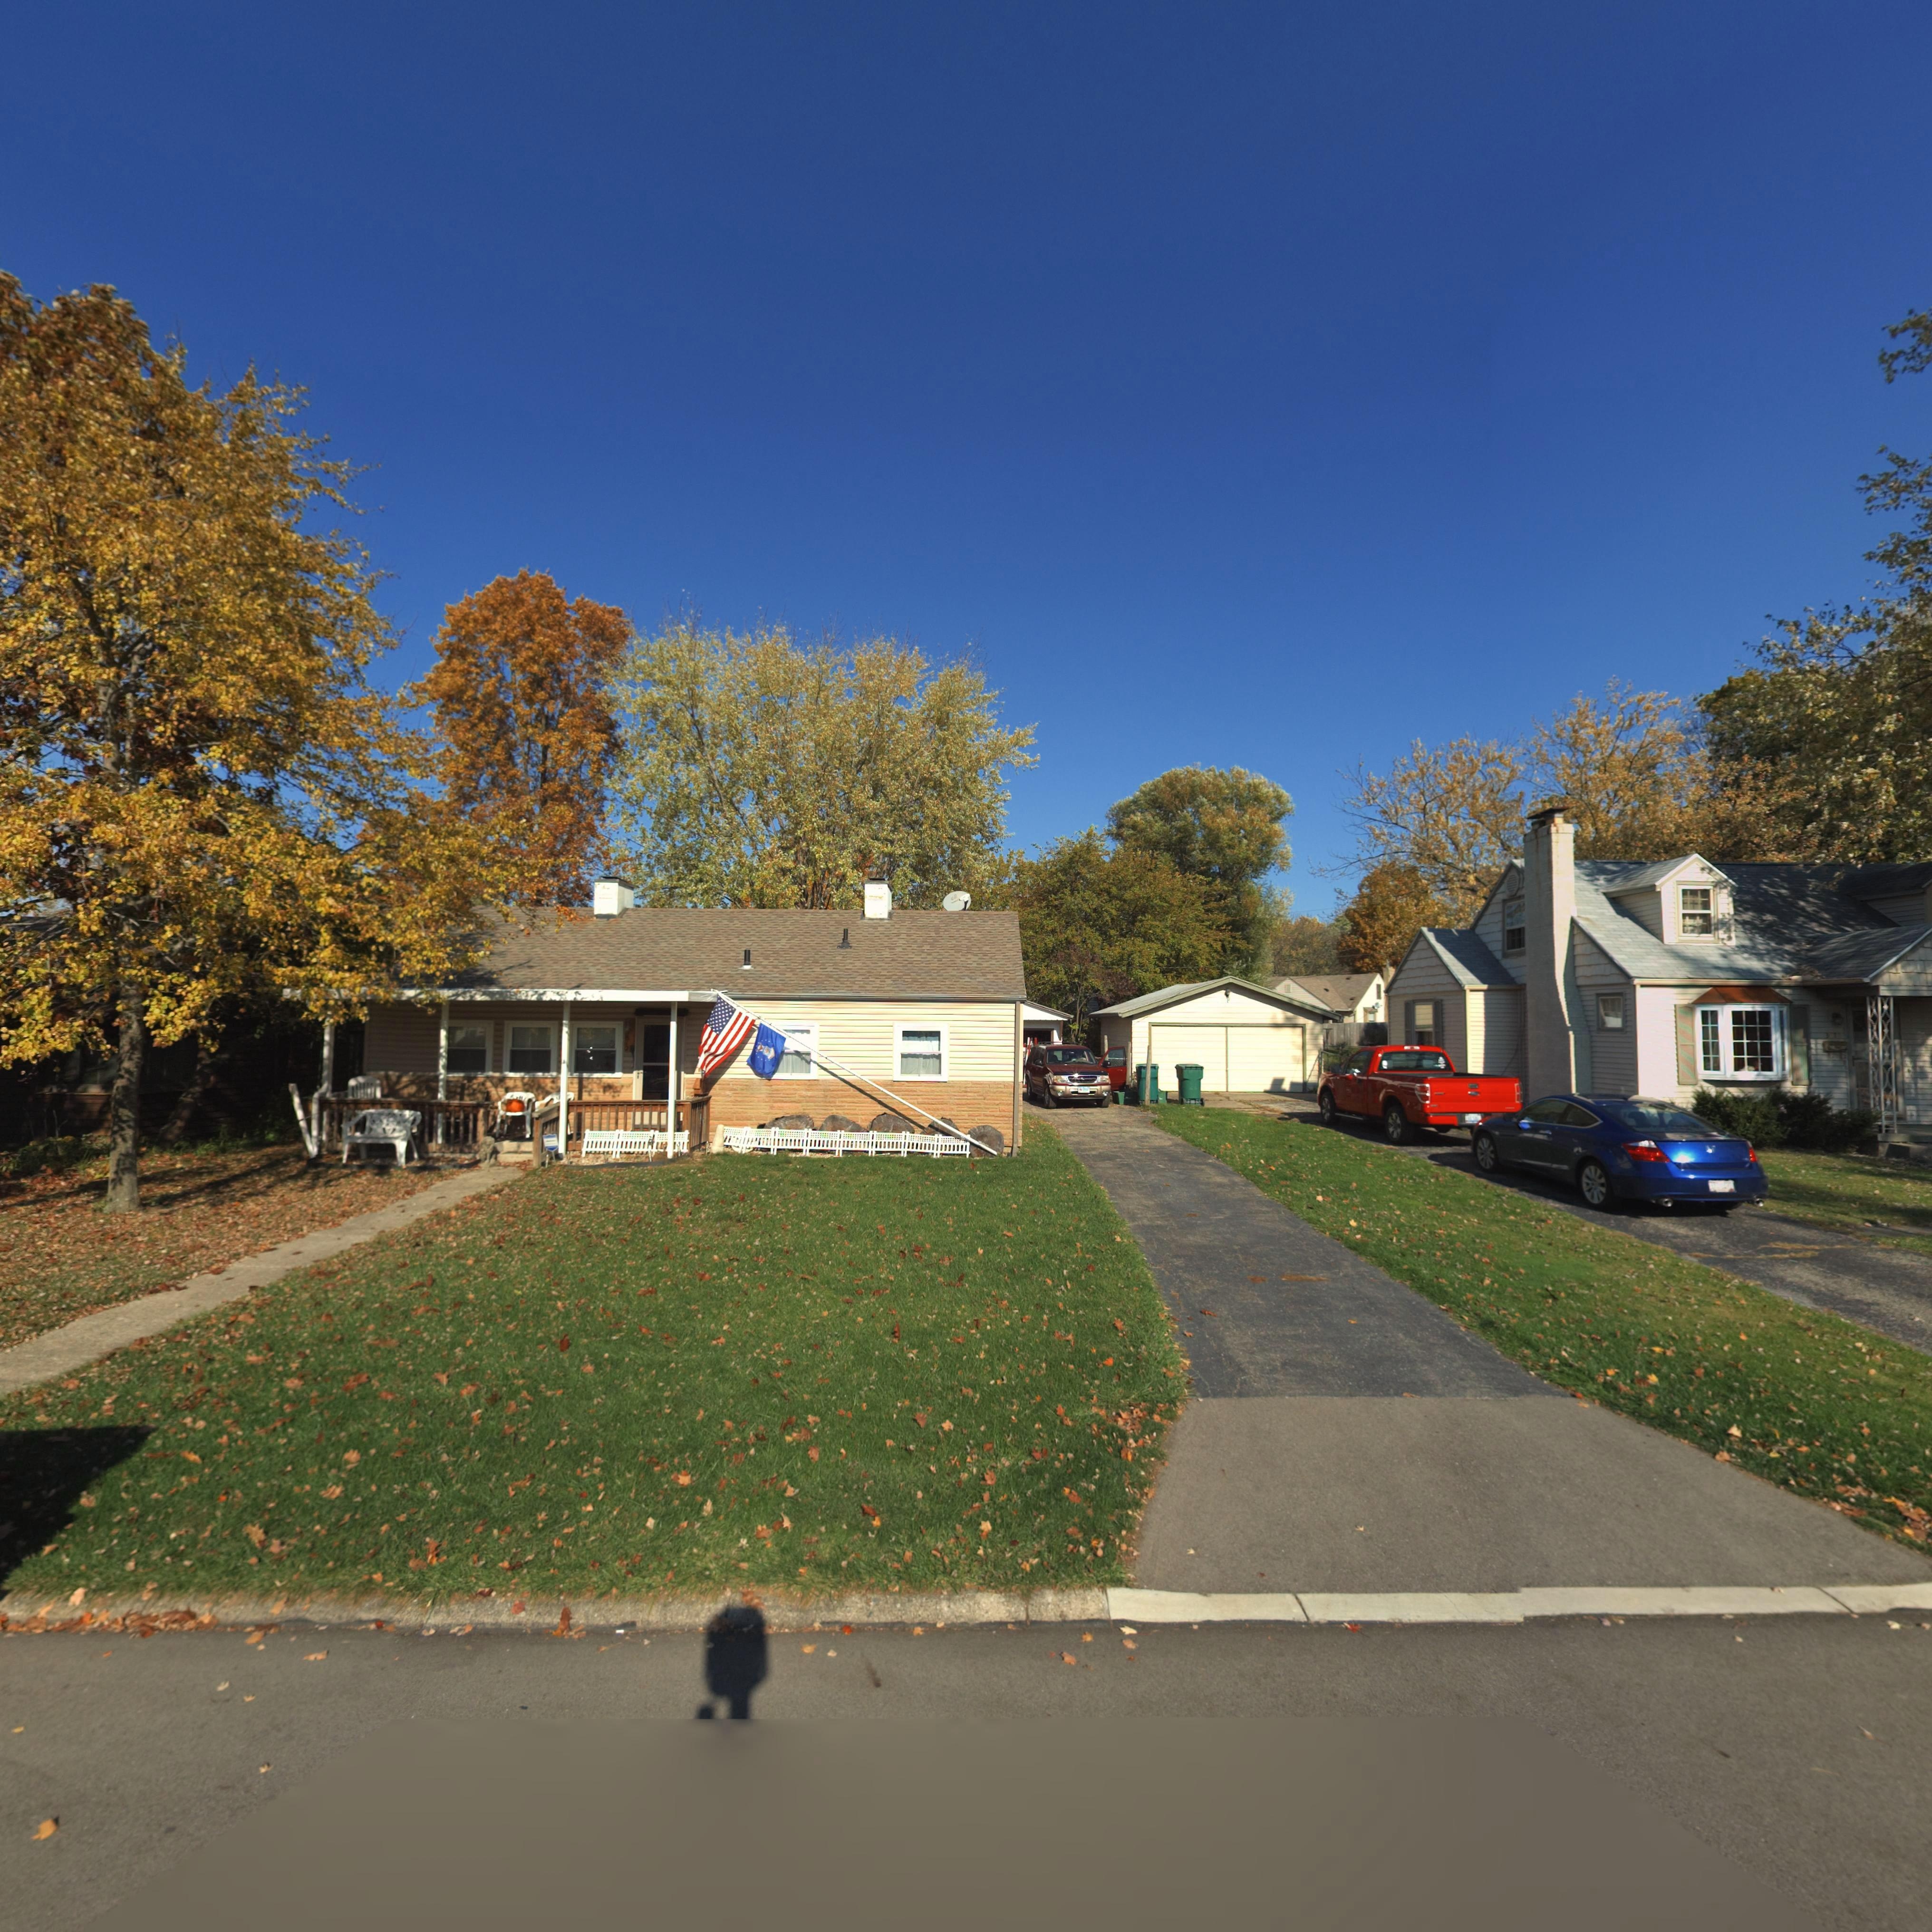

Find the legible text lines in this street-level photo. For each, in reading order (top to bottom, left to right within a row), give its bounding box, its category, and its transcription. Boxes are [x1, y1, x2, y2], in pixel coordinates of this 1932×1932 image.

[624, 1034, 630, 1052] StreetNumber: 812